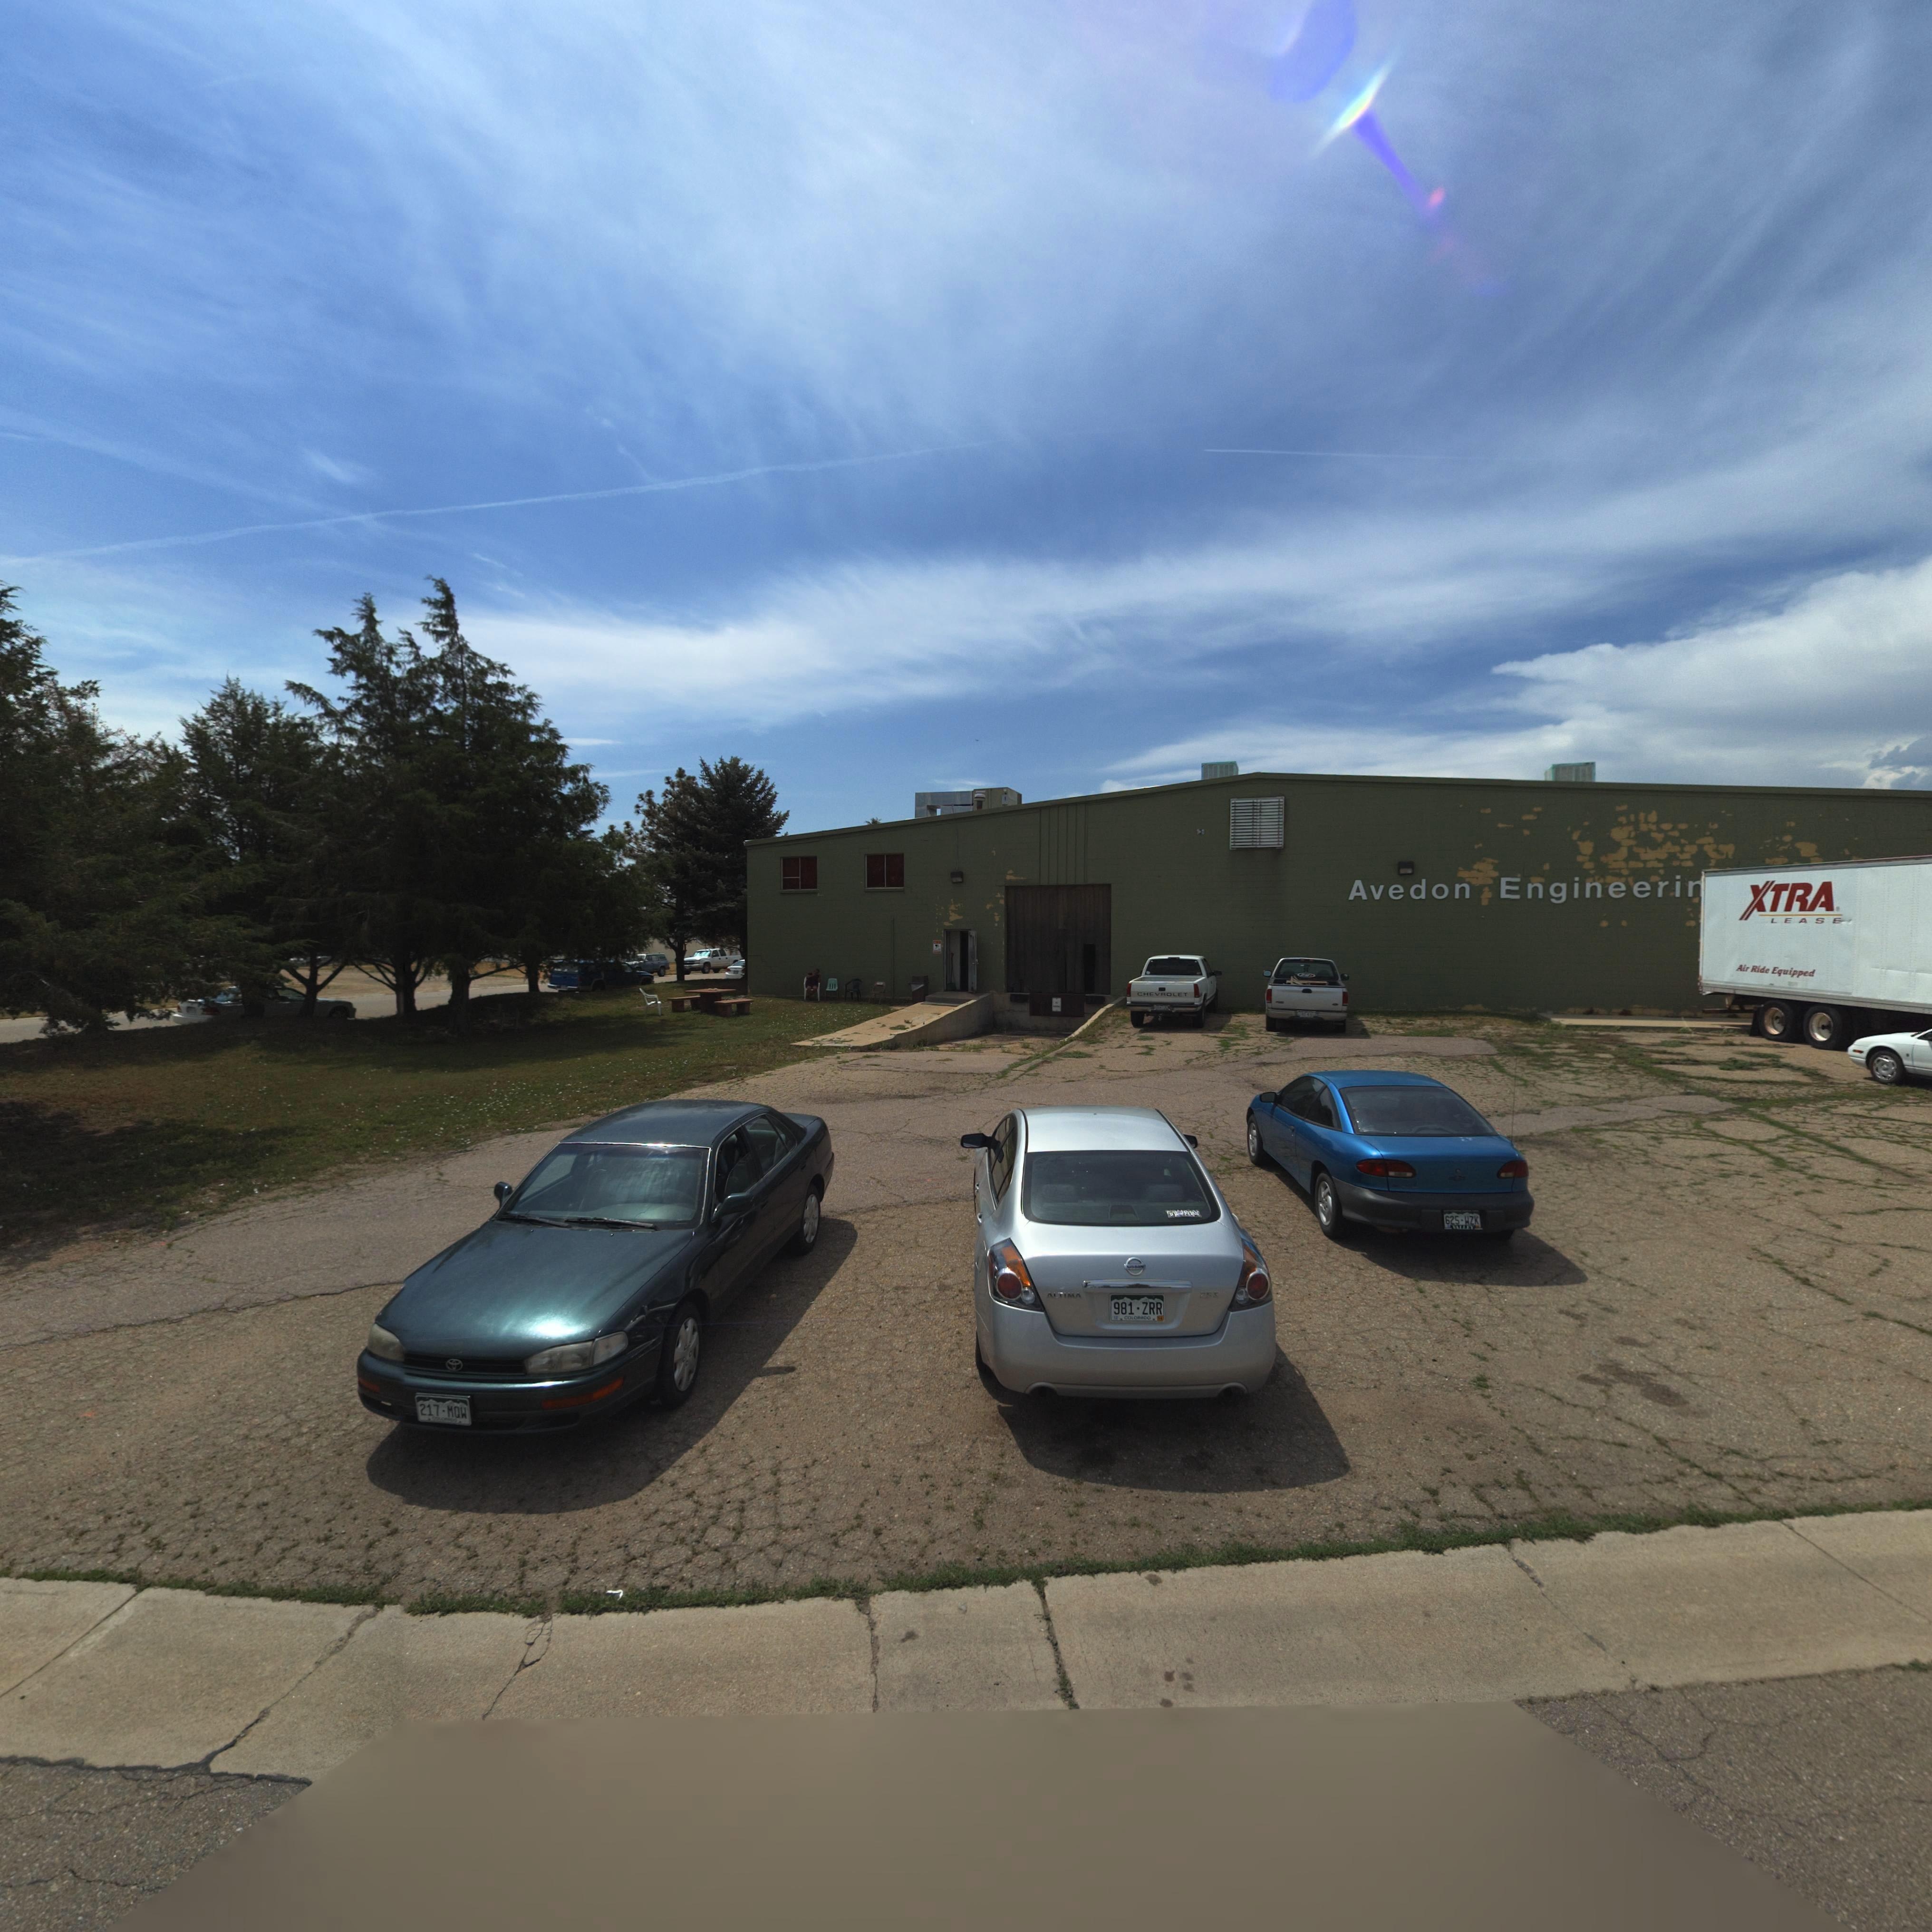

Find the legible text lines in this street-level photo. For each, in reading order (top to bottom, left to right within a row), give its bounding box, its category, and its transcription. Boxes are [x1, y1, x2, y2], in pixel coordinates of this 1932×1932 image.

[1346, 874, 1703, 905] BusinessName: Avedon Engineerin